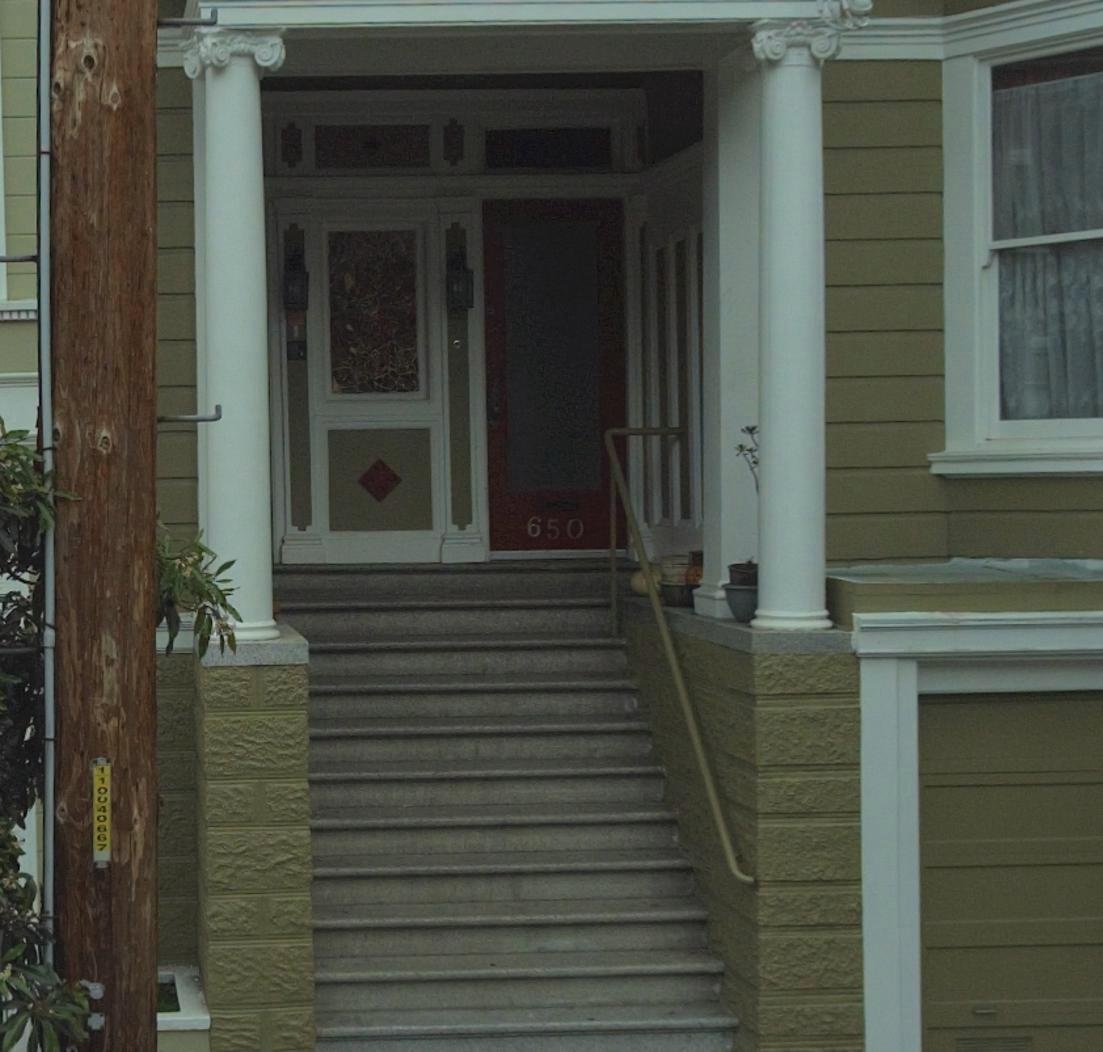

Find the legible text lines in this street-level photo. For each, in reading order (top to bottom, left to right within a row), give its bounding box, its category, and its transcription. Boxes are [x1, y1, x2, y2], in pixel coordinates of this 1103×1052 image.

[525, 515, 585, 541] StreetNumber: 650
[96, 765, 106, 852] None: 110040667